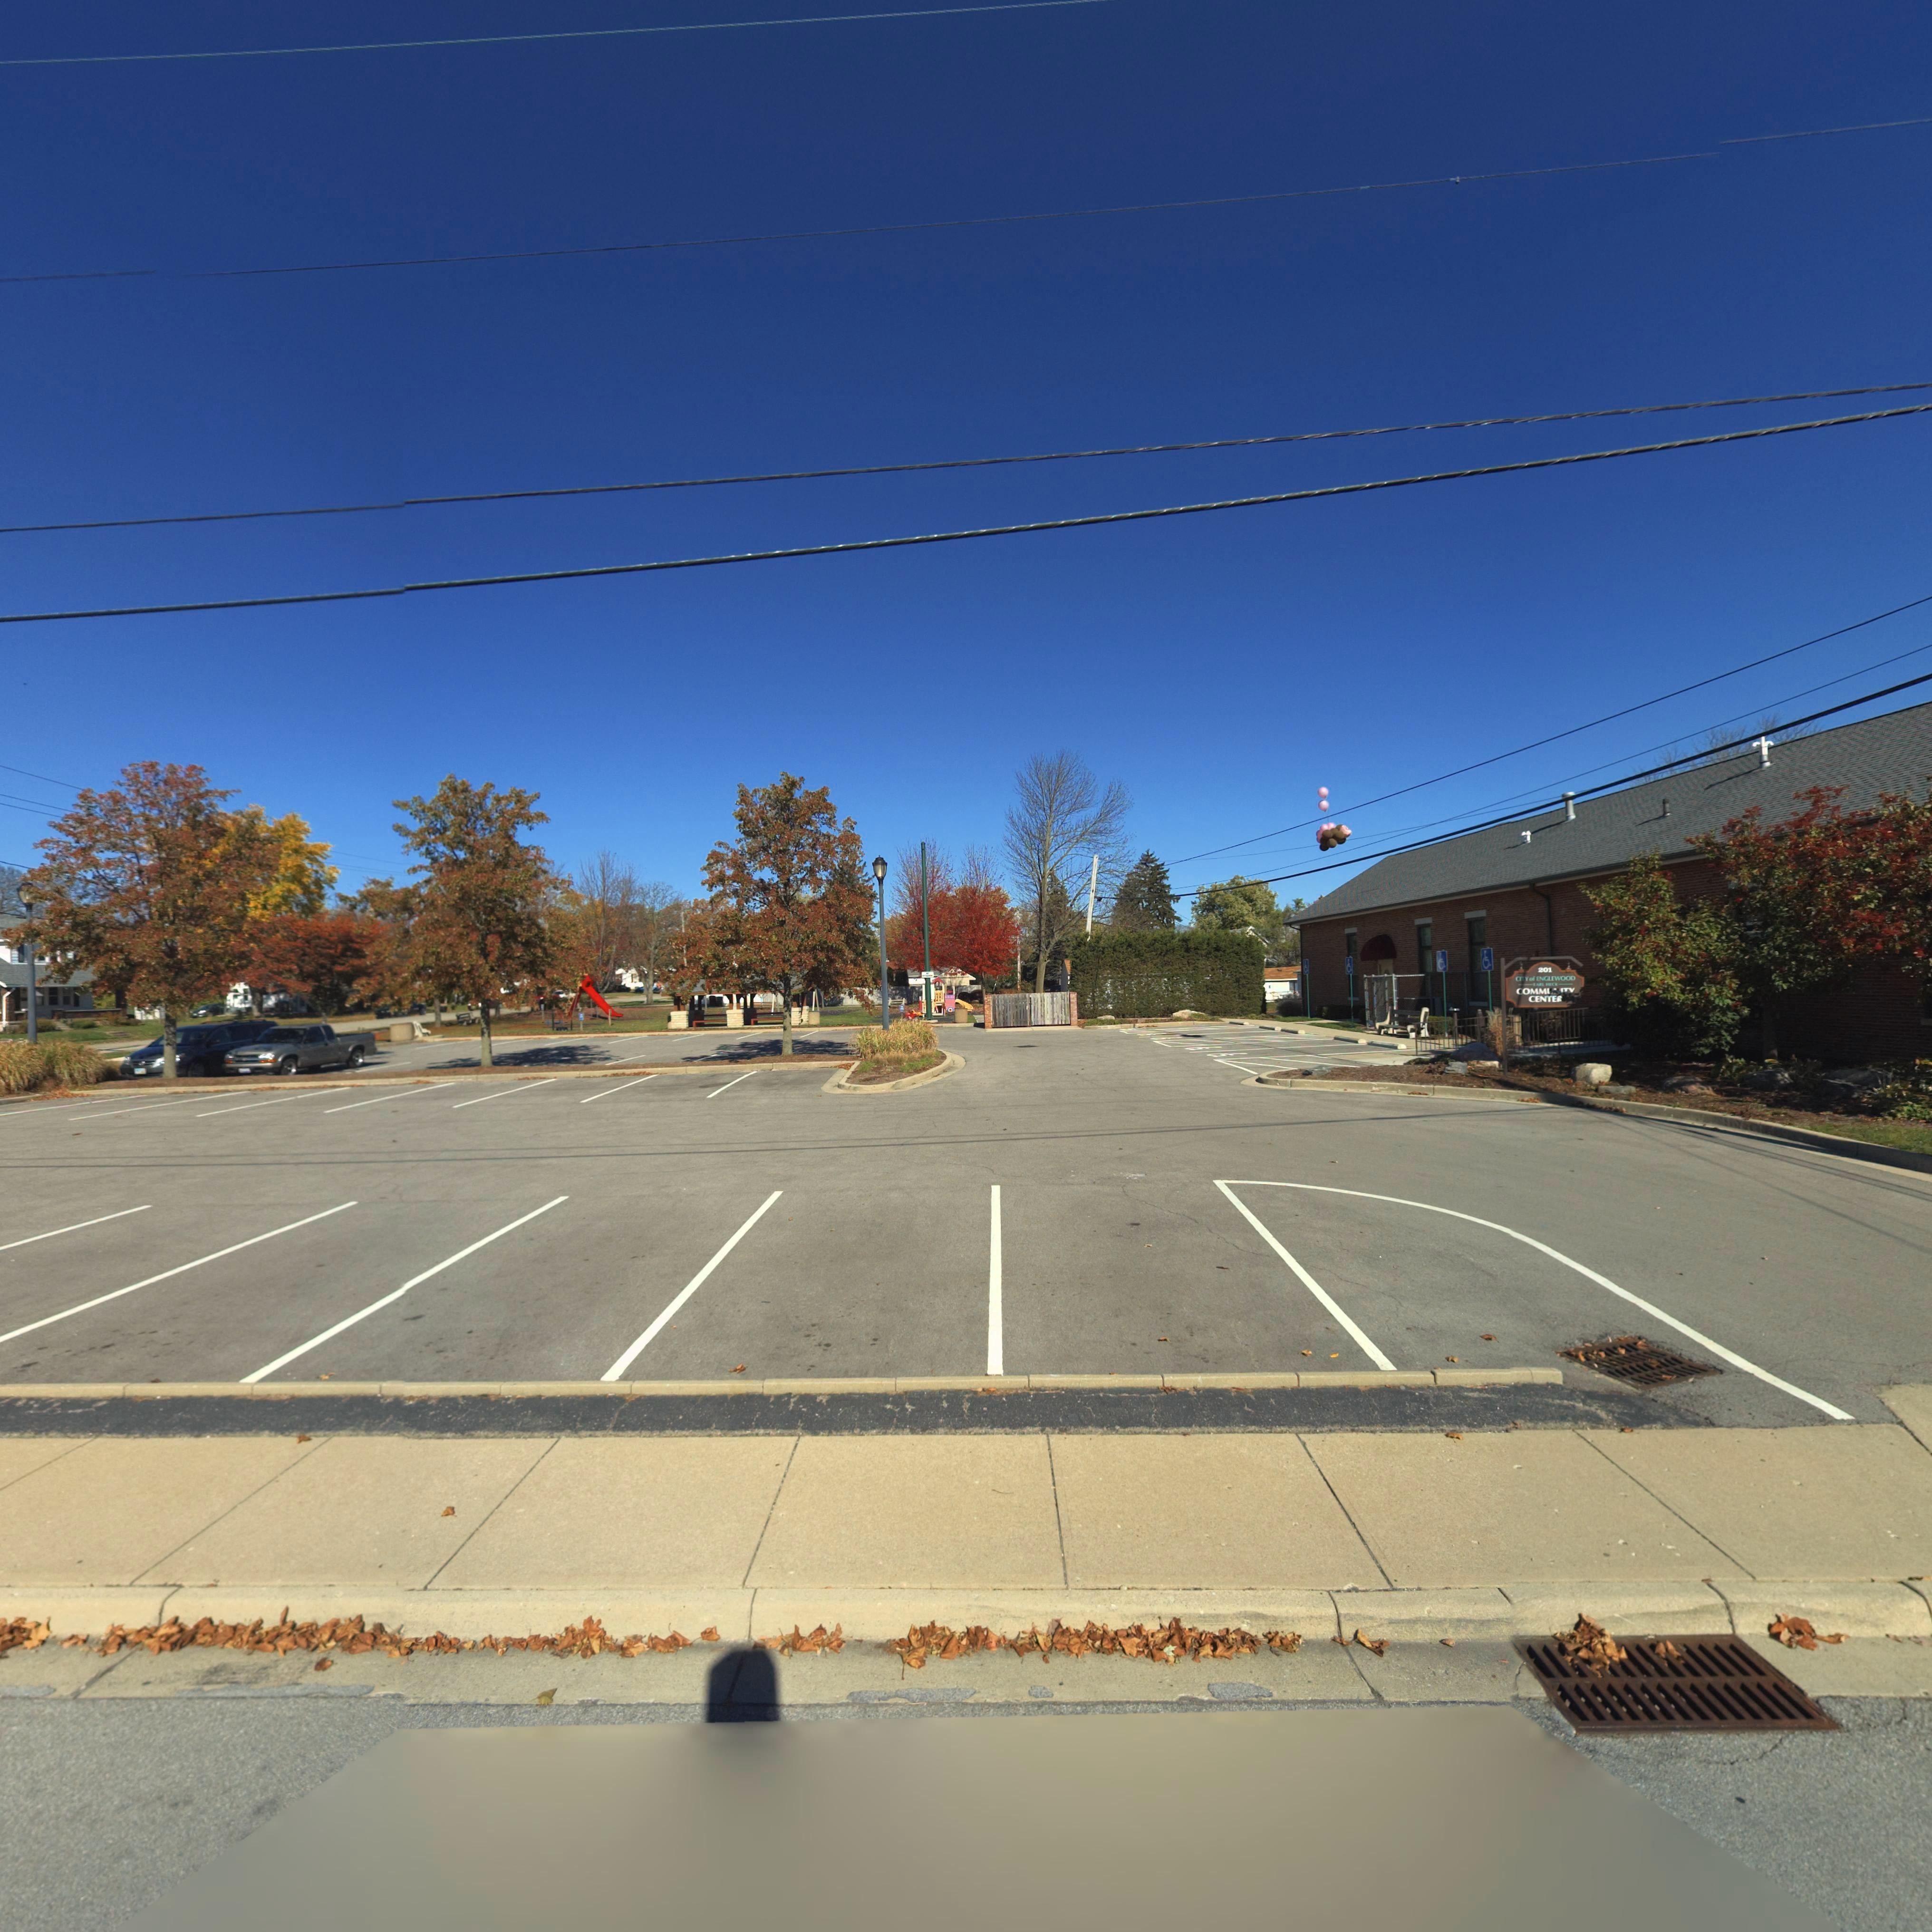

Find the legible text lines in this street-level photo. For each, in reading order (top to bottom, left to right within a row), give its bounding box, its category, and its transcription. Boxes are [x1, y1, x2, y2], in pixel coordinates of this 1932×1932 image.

[1537, 966, 1552, 973] StreetNumber: 201
[1515, 975, 1577, 982] None: CITY of ENGLEWOOD
[1515, 987, 1569, 995] None: COMMUNIT
[1528, 995, 1563, 1003] None: CENTER